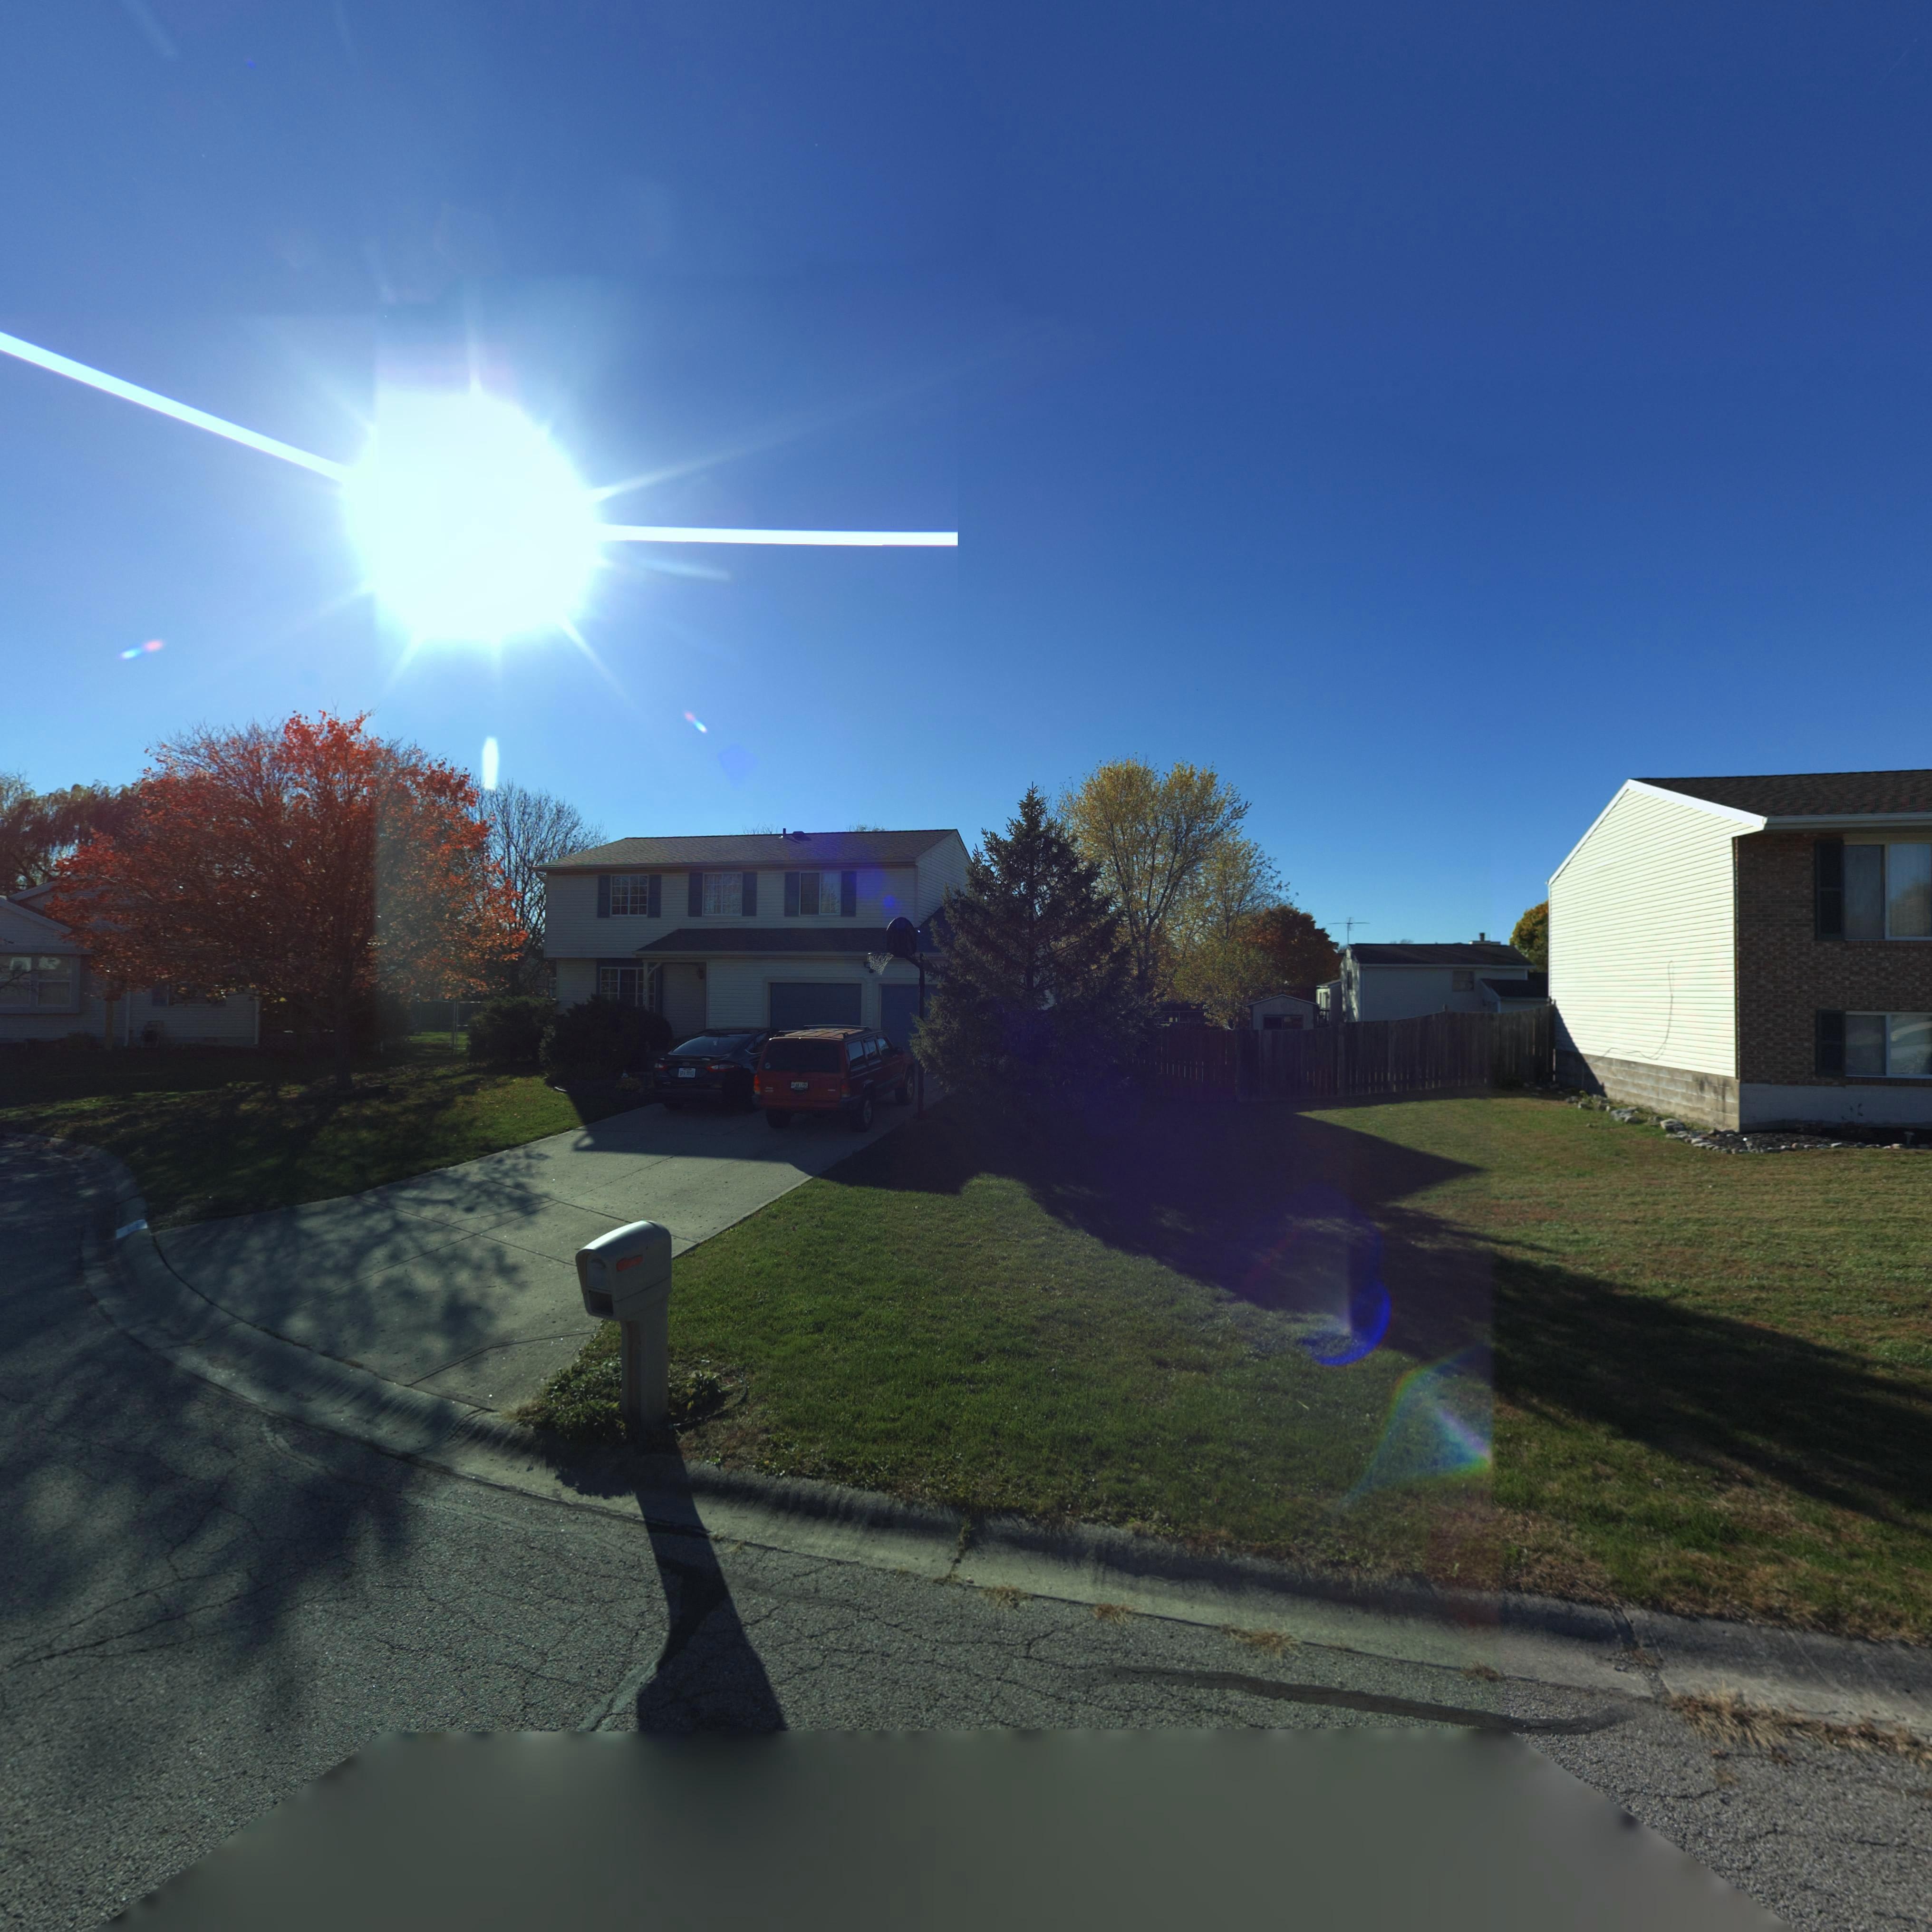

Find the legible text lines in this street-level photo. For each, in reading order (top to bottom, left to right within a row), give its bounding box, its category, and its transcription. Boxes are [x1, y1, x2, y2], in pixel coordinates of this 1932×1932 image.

[642, 984, 647, 1002] StreetNumber: 622